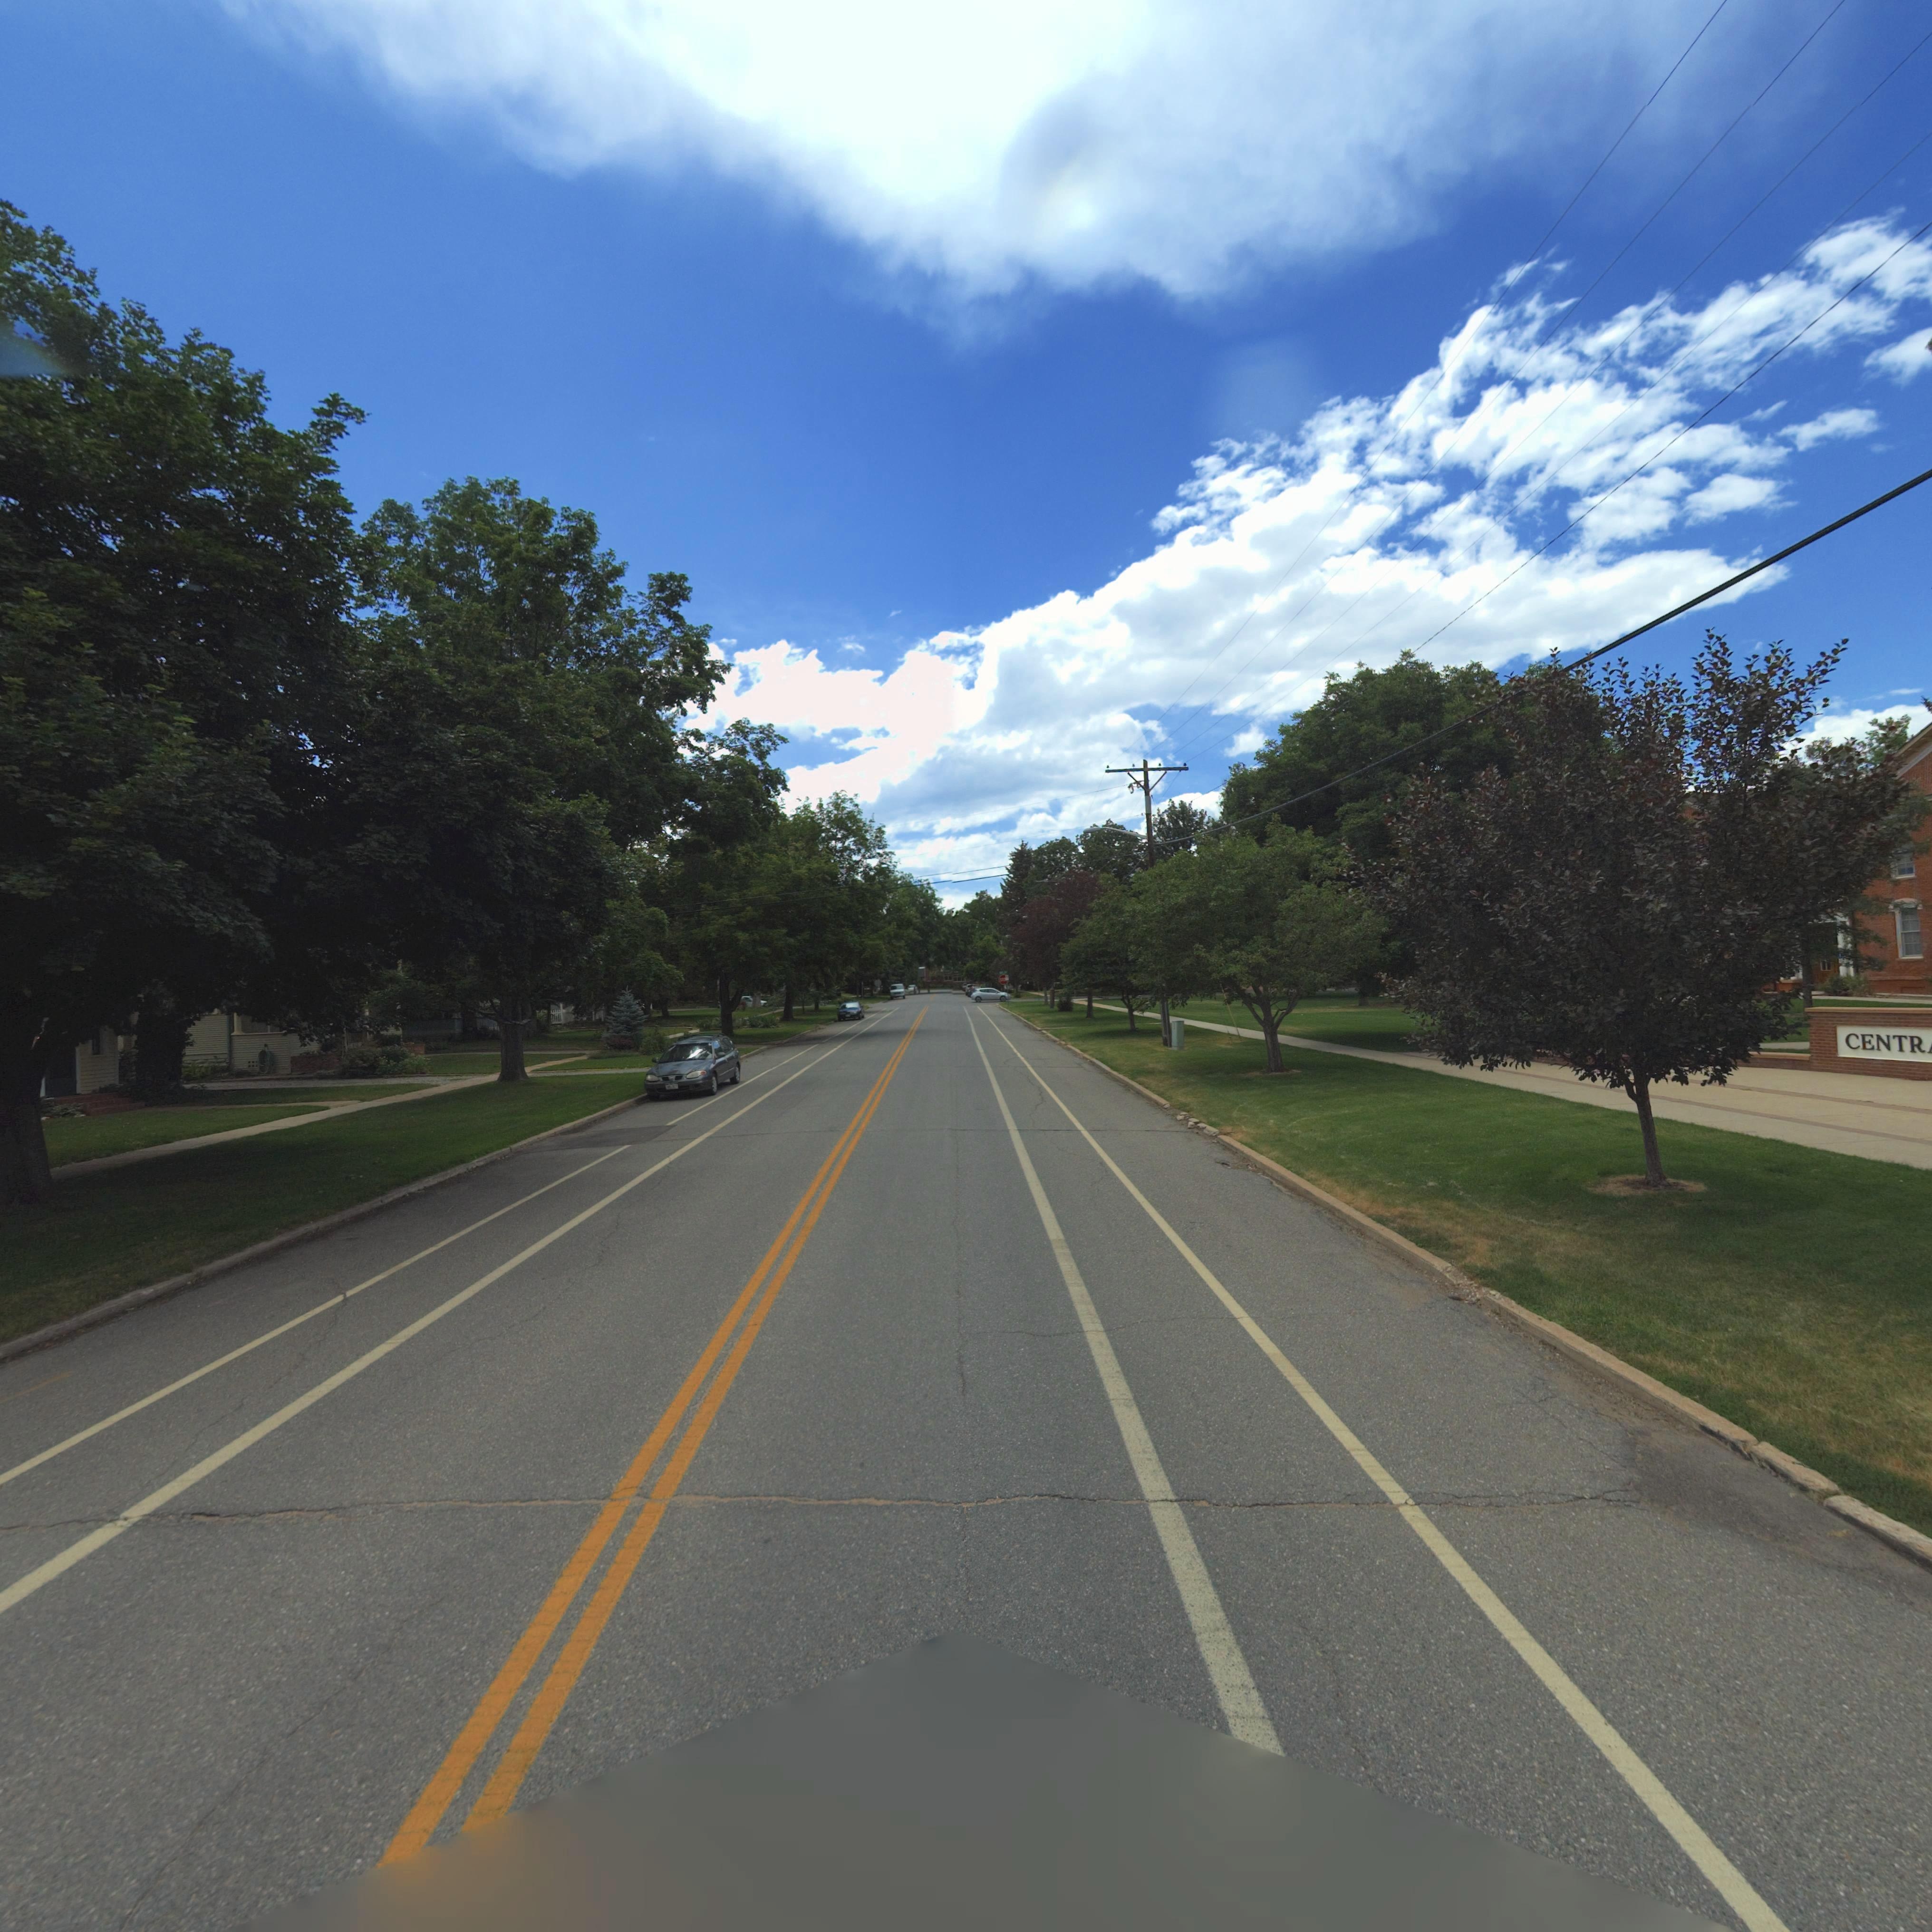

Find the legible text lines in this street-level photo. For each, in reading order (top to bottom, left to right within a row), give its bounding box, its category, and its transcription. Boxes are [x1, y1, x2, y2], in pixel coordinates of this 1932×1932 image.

[1845, 1033, 1926, 1053] BusinessName: CENTR